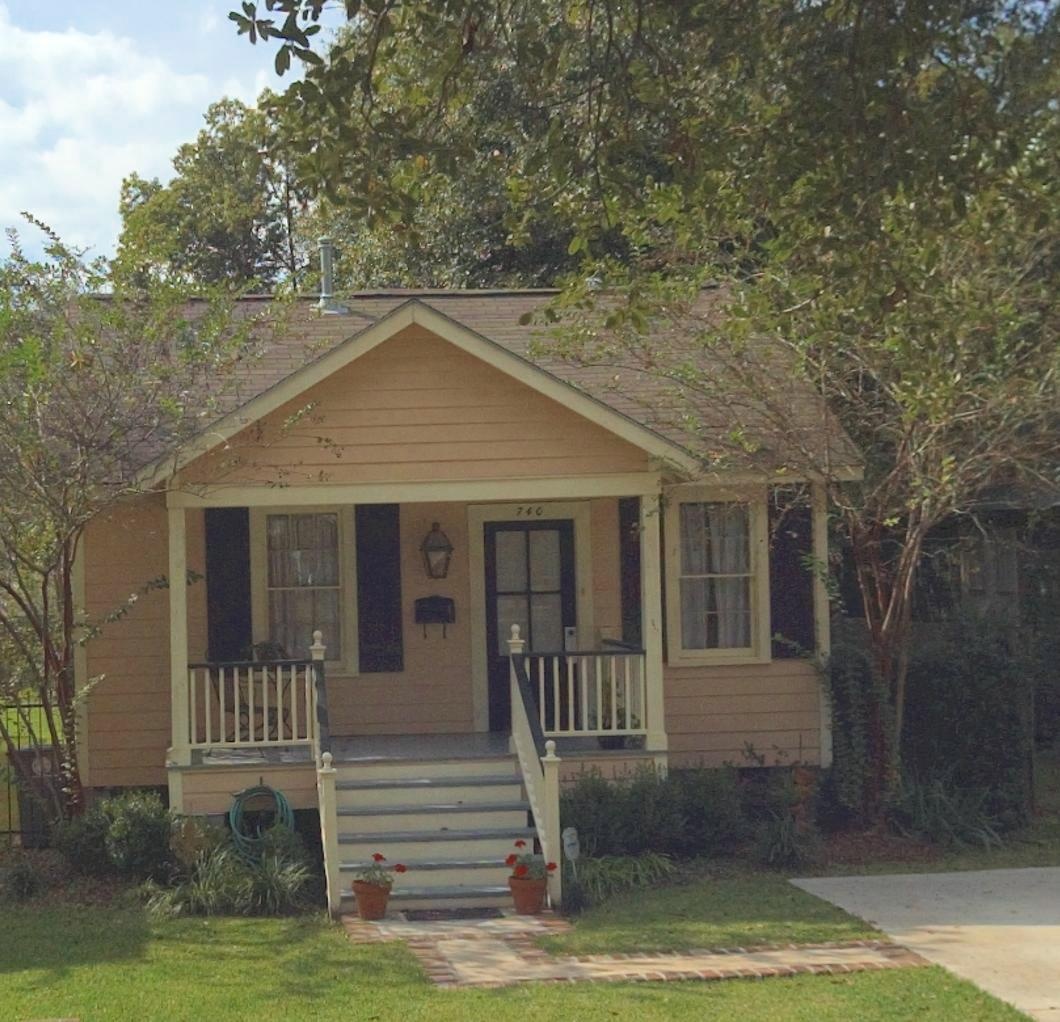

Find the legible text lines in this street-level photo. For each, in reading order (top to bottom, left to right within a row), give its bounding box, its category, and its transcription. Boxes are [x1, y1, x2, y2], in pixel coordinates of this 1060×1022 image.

[515, 505, 544, 518] StreetNumber: 740